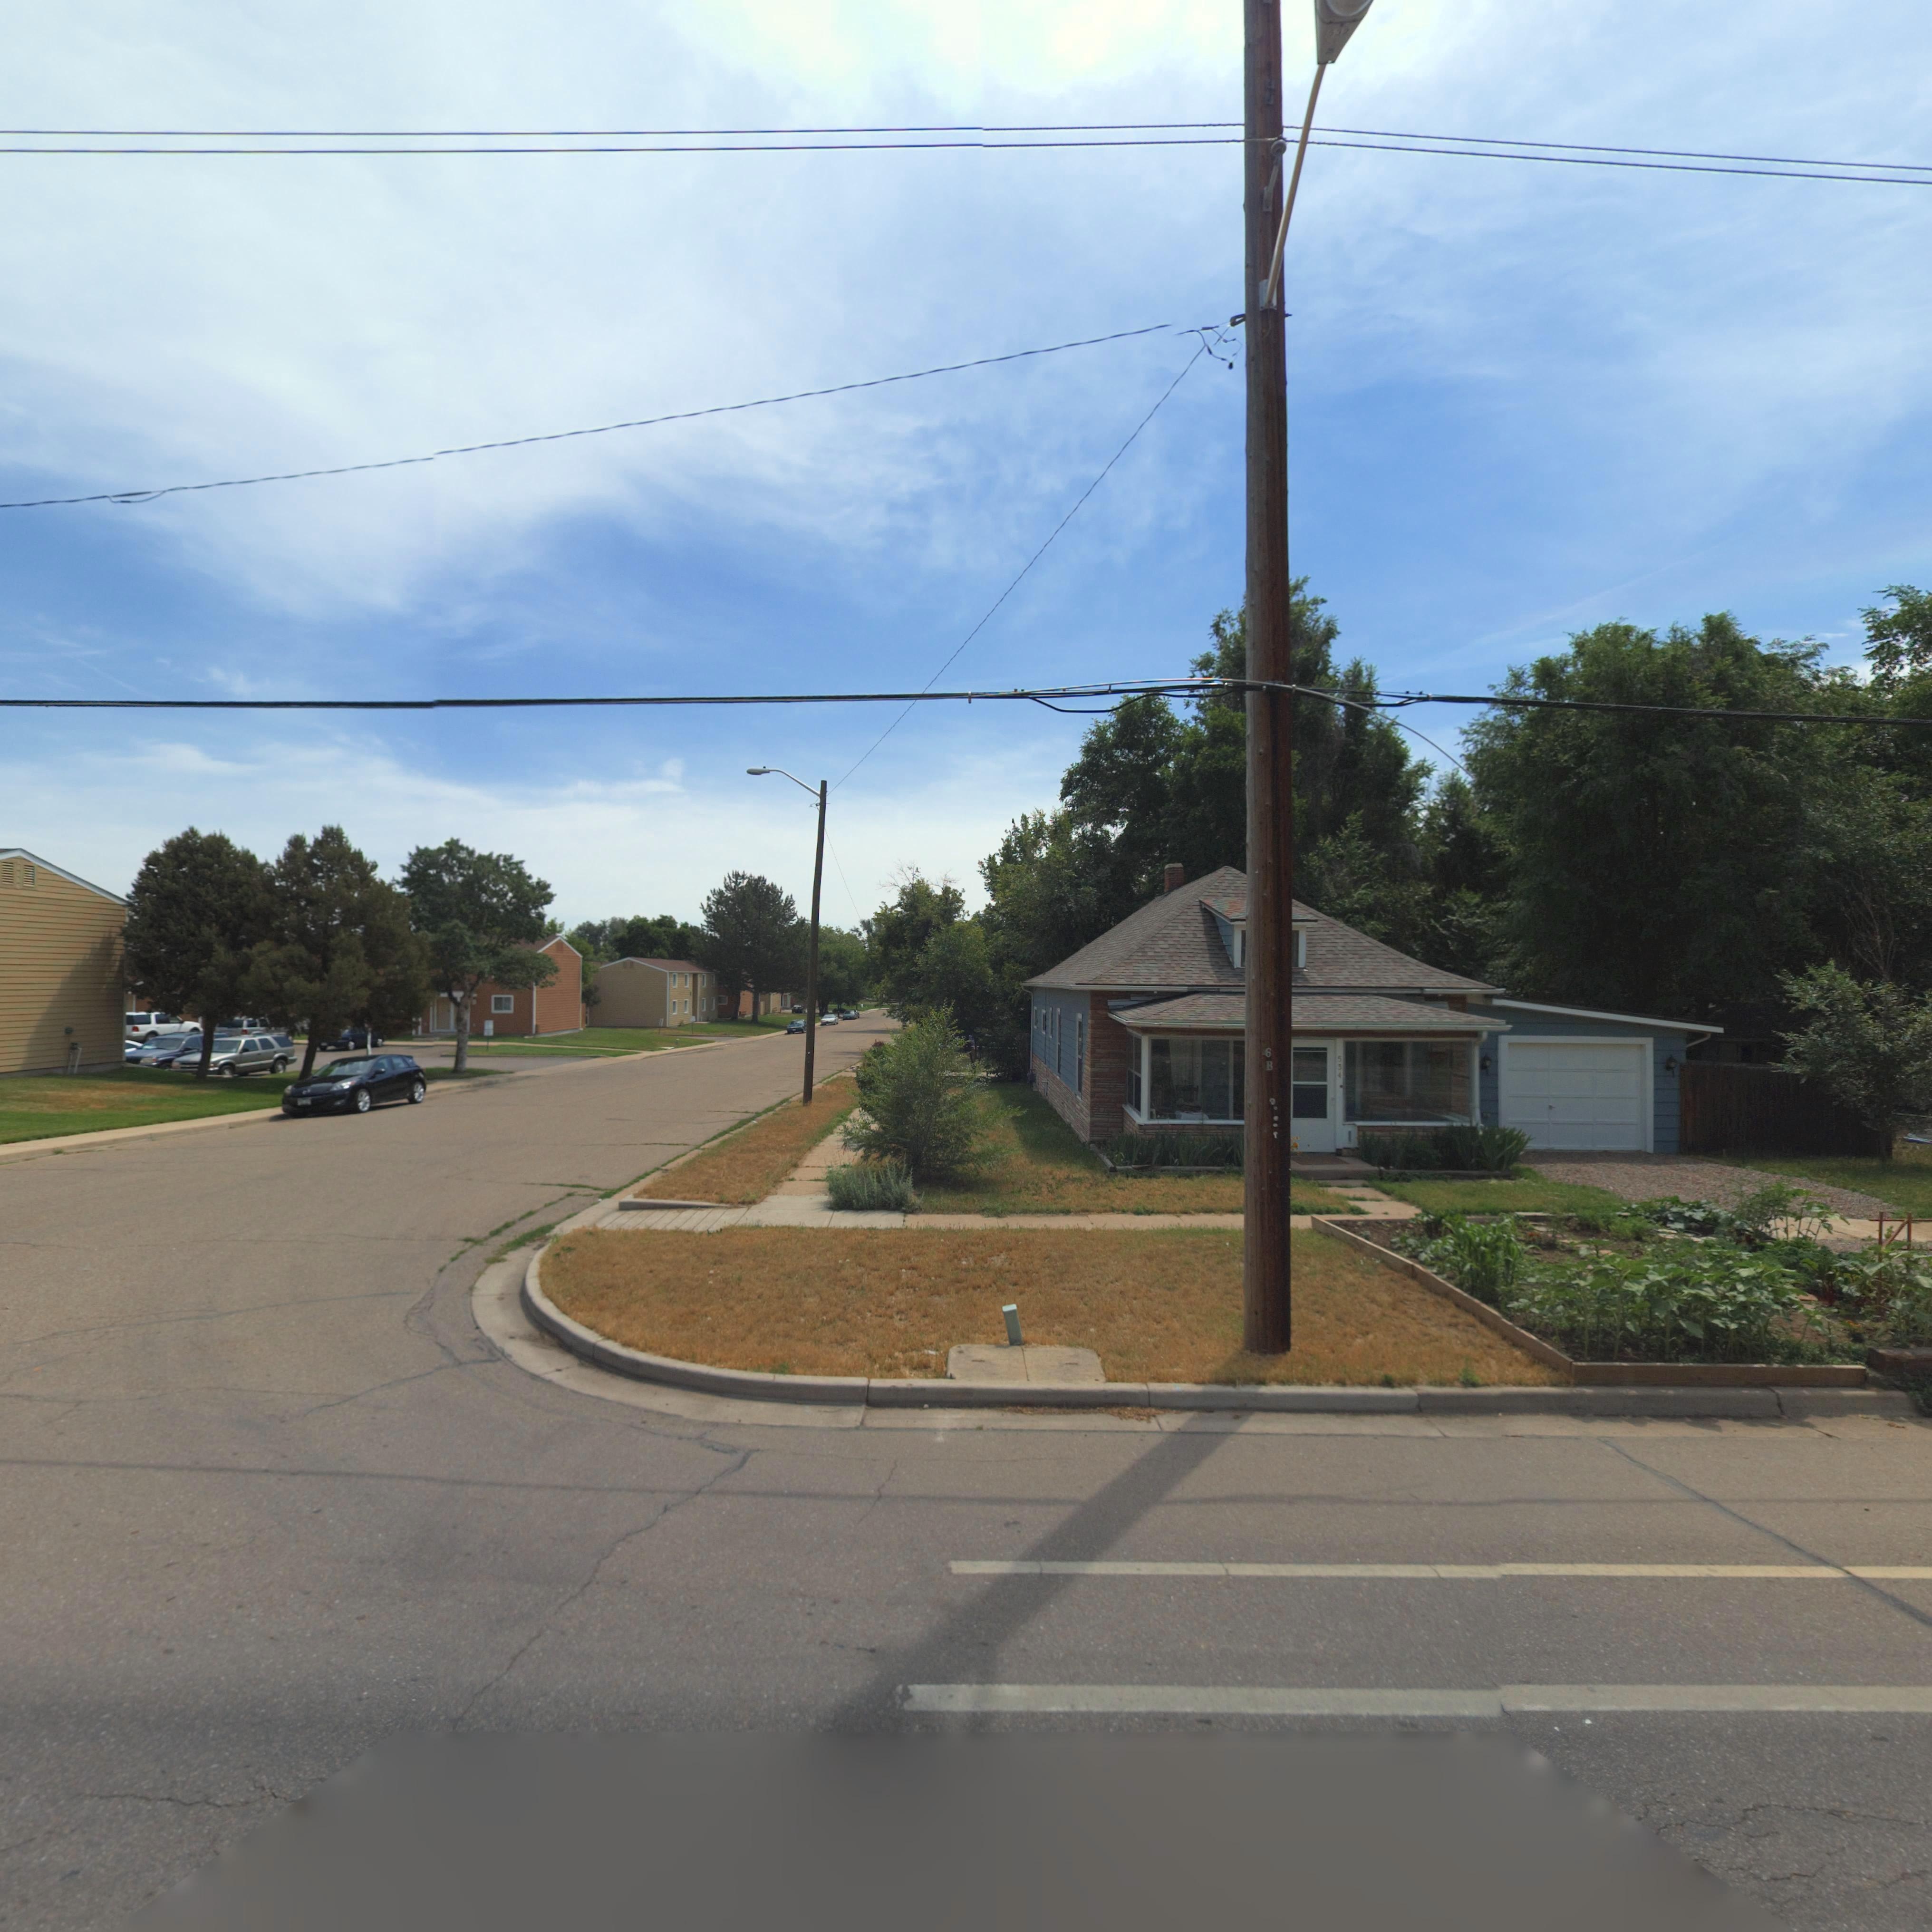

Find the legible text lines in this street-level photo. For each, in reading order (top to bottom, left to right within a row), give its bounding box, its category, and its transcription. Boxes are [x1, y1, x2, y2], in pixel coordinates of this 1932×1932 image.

[1336, 1055, 1341, 1078] StreetNumber: 534